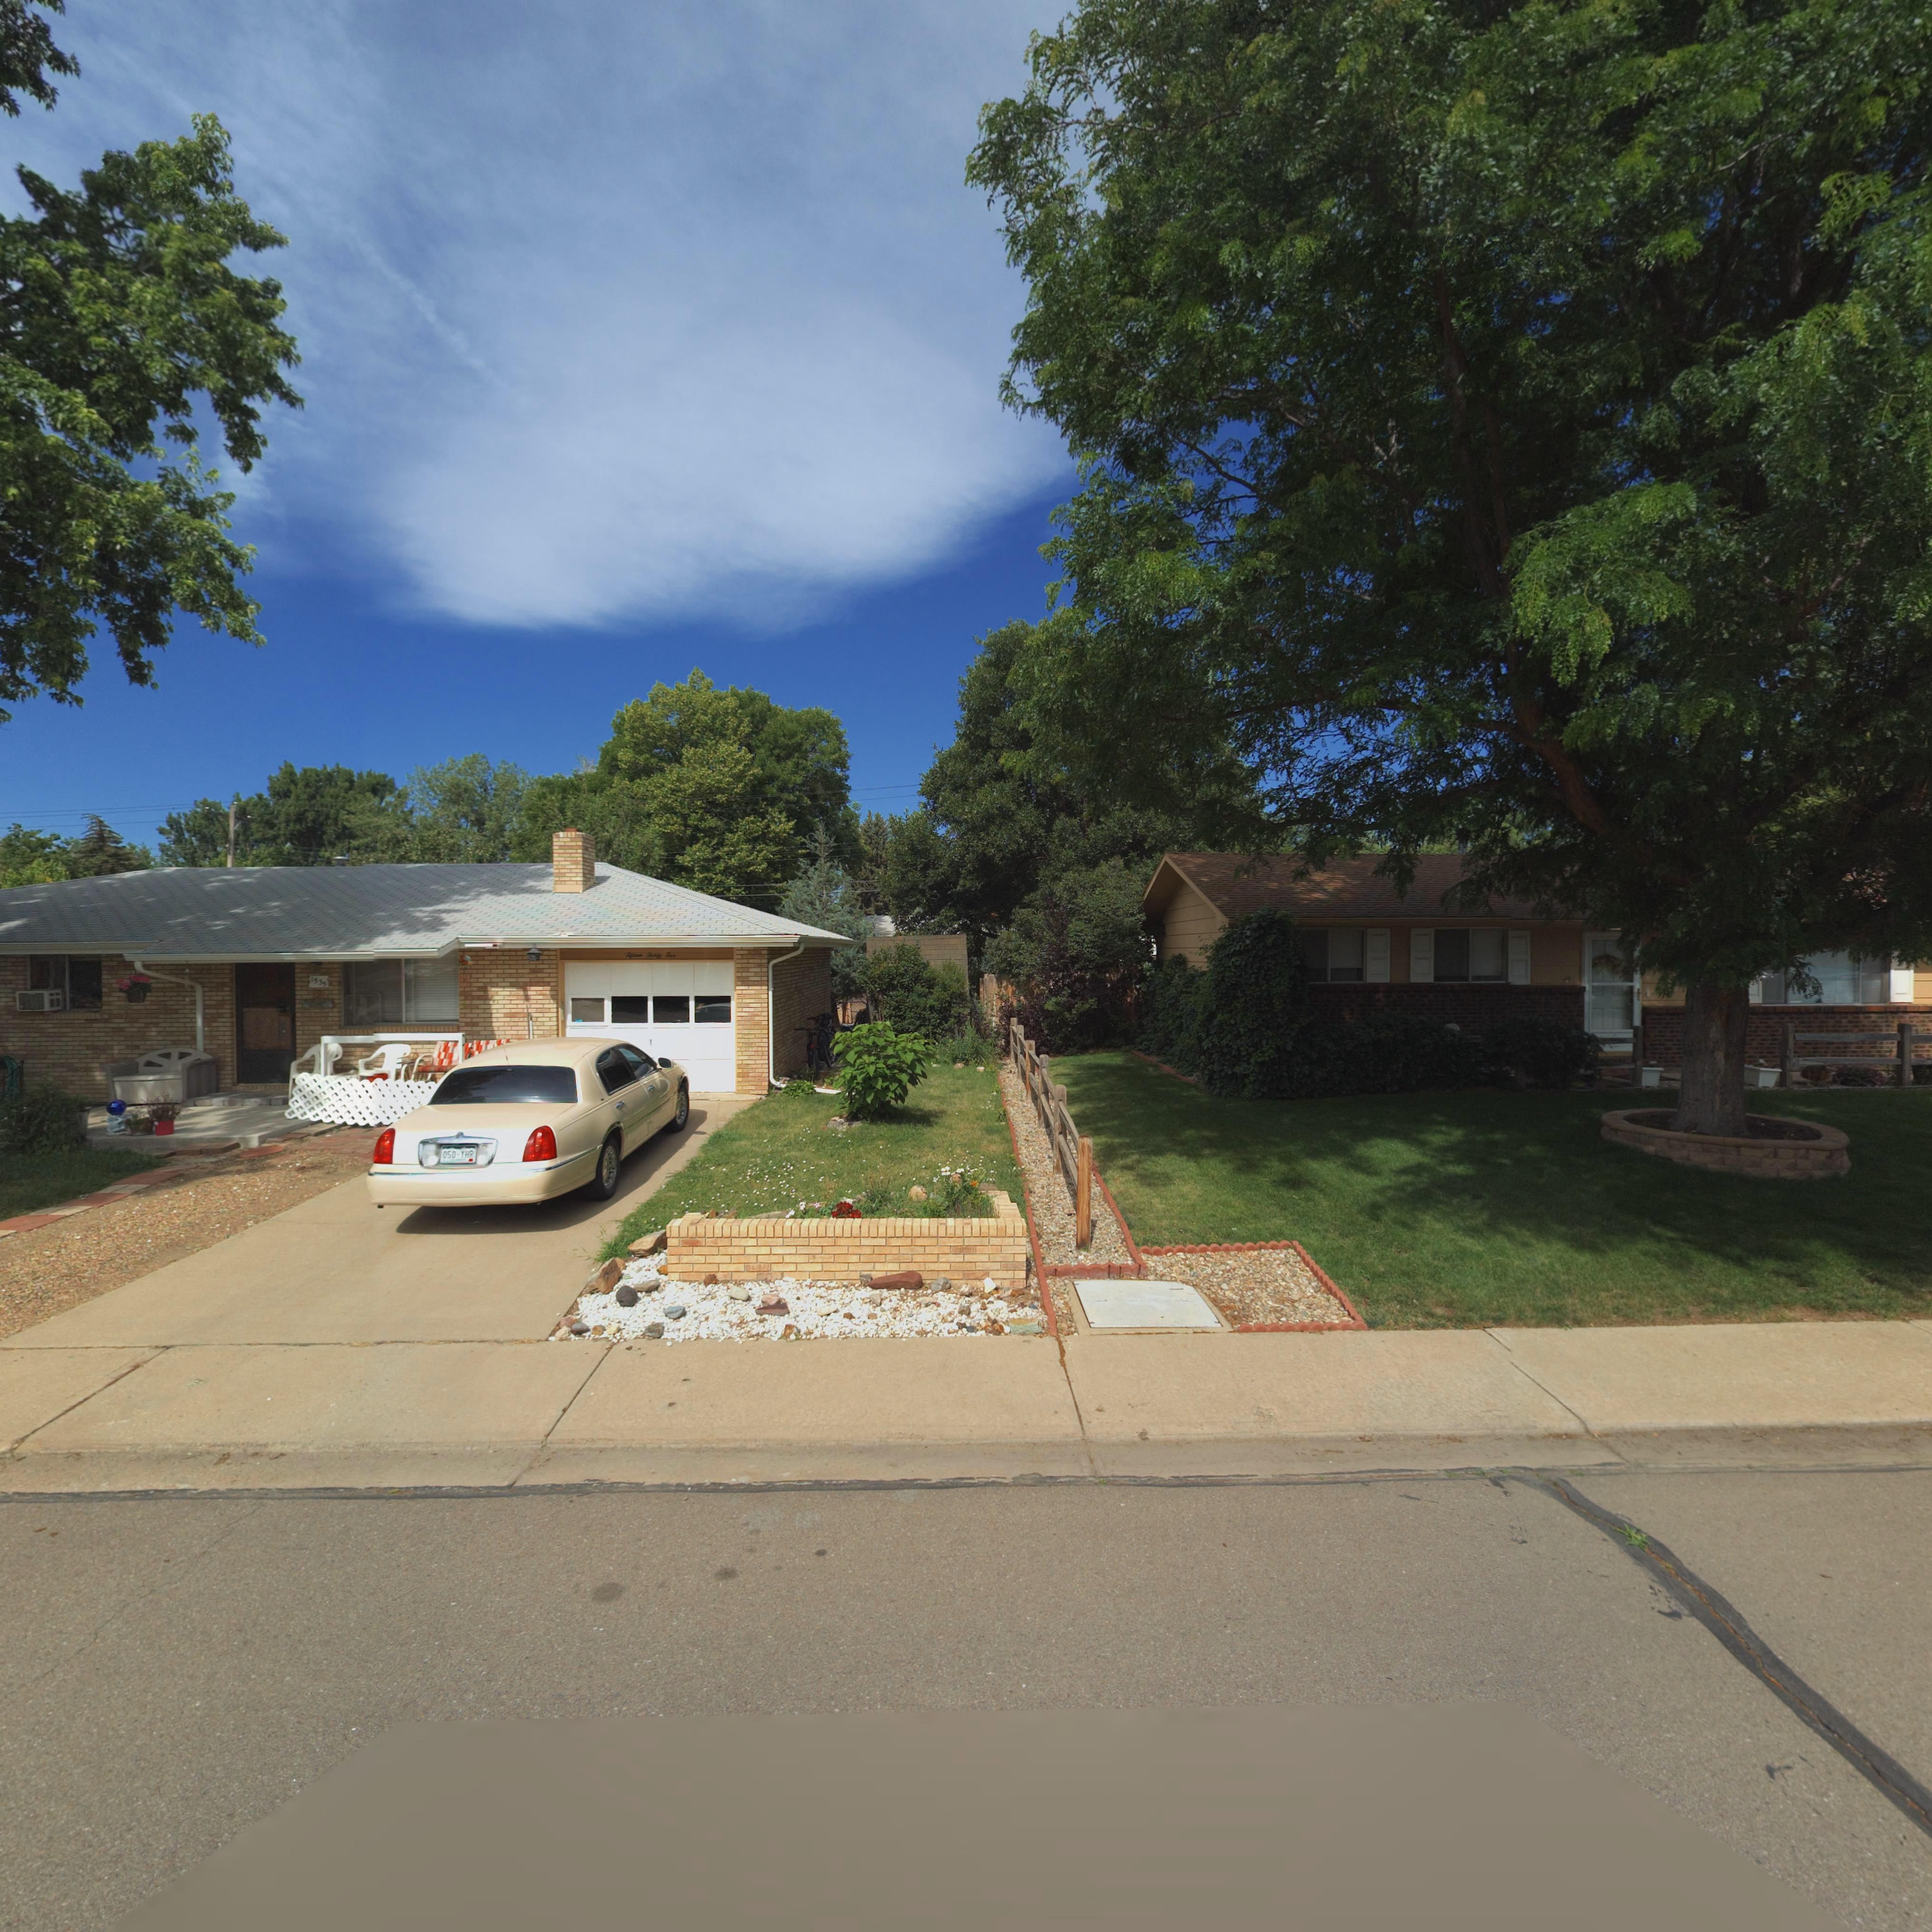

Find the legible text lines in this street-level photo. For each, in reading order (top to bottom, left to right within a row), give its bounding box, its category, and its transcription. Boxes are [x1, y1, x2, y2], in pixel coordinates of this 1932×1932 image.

[309, 975, 327, 987] StreetNumber: 1535